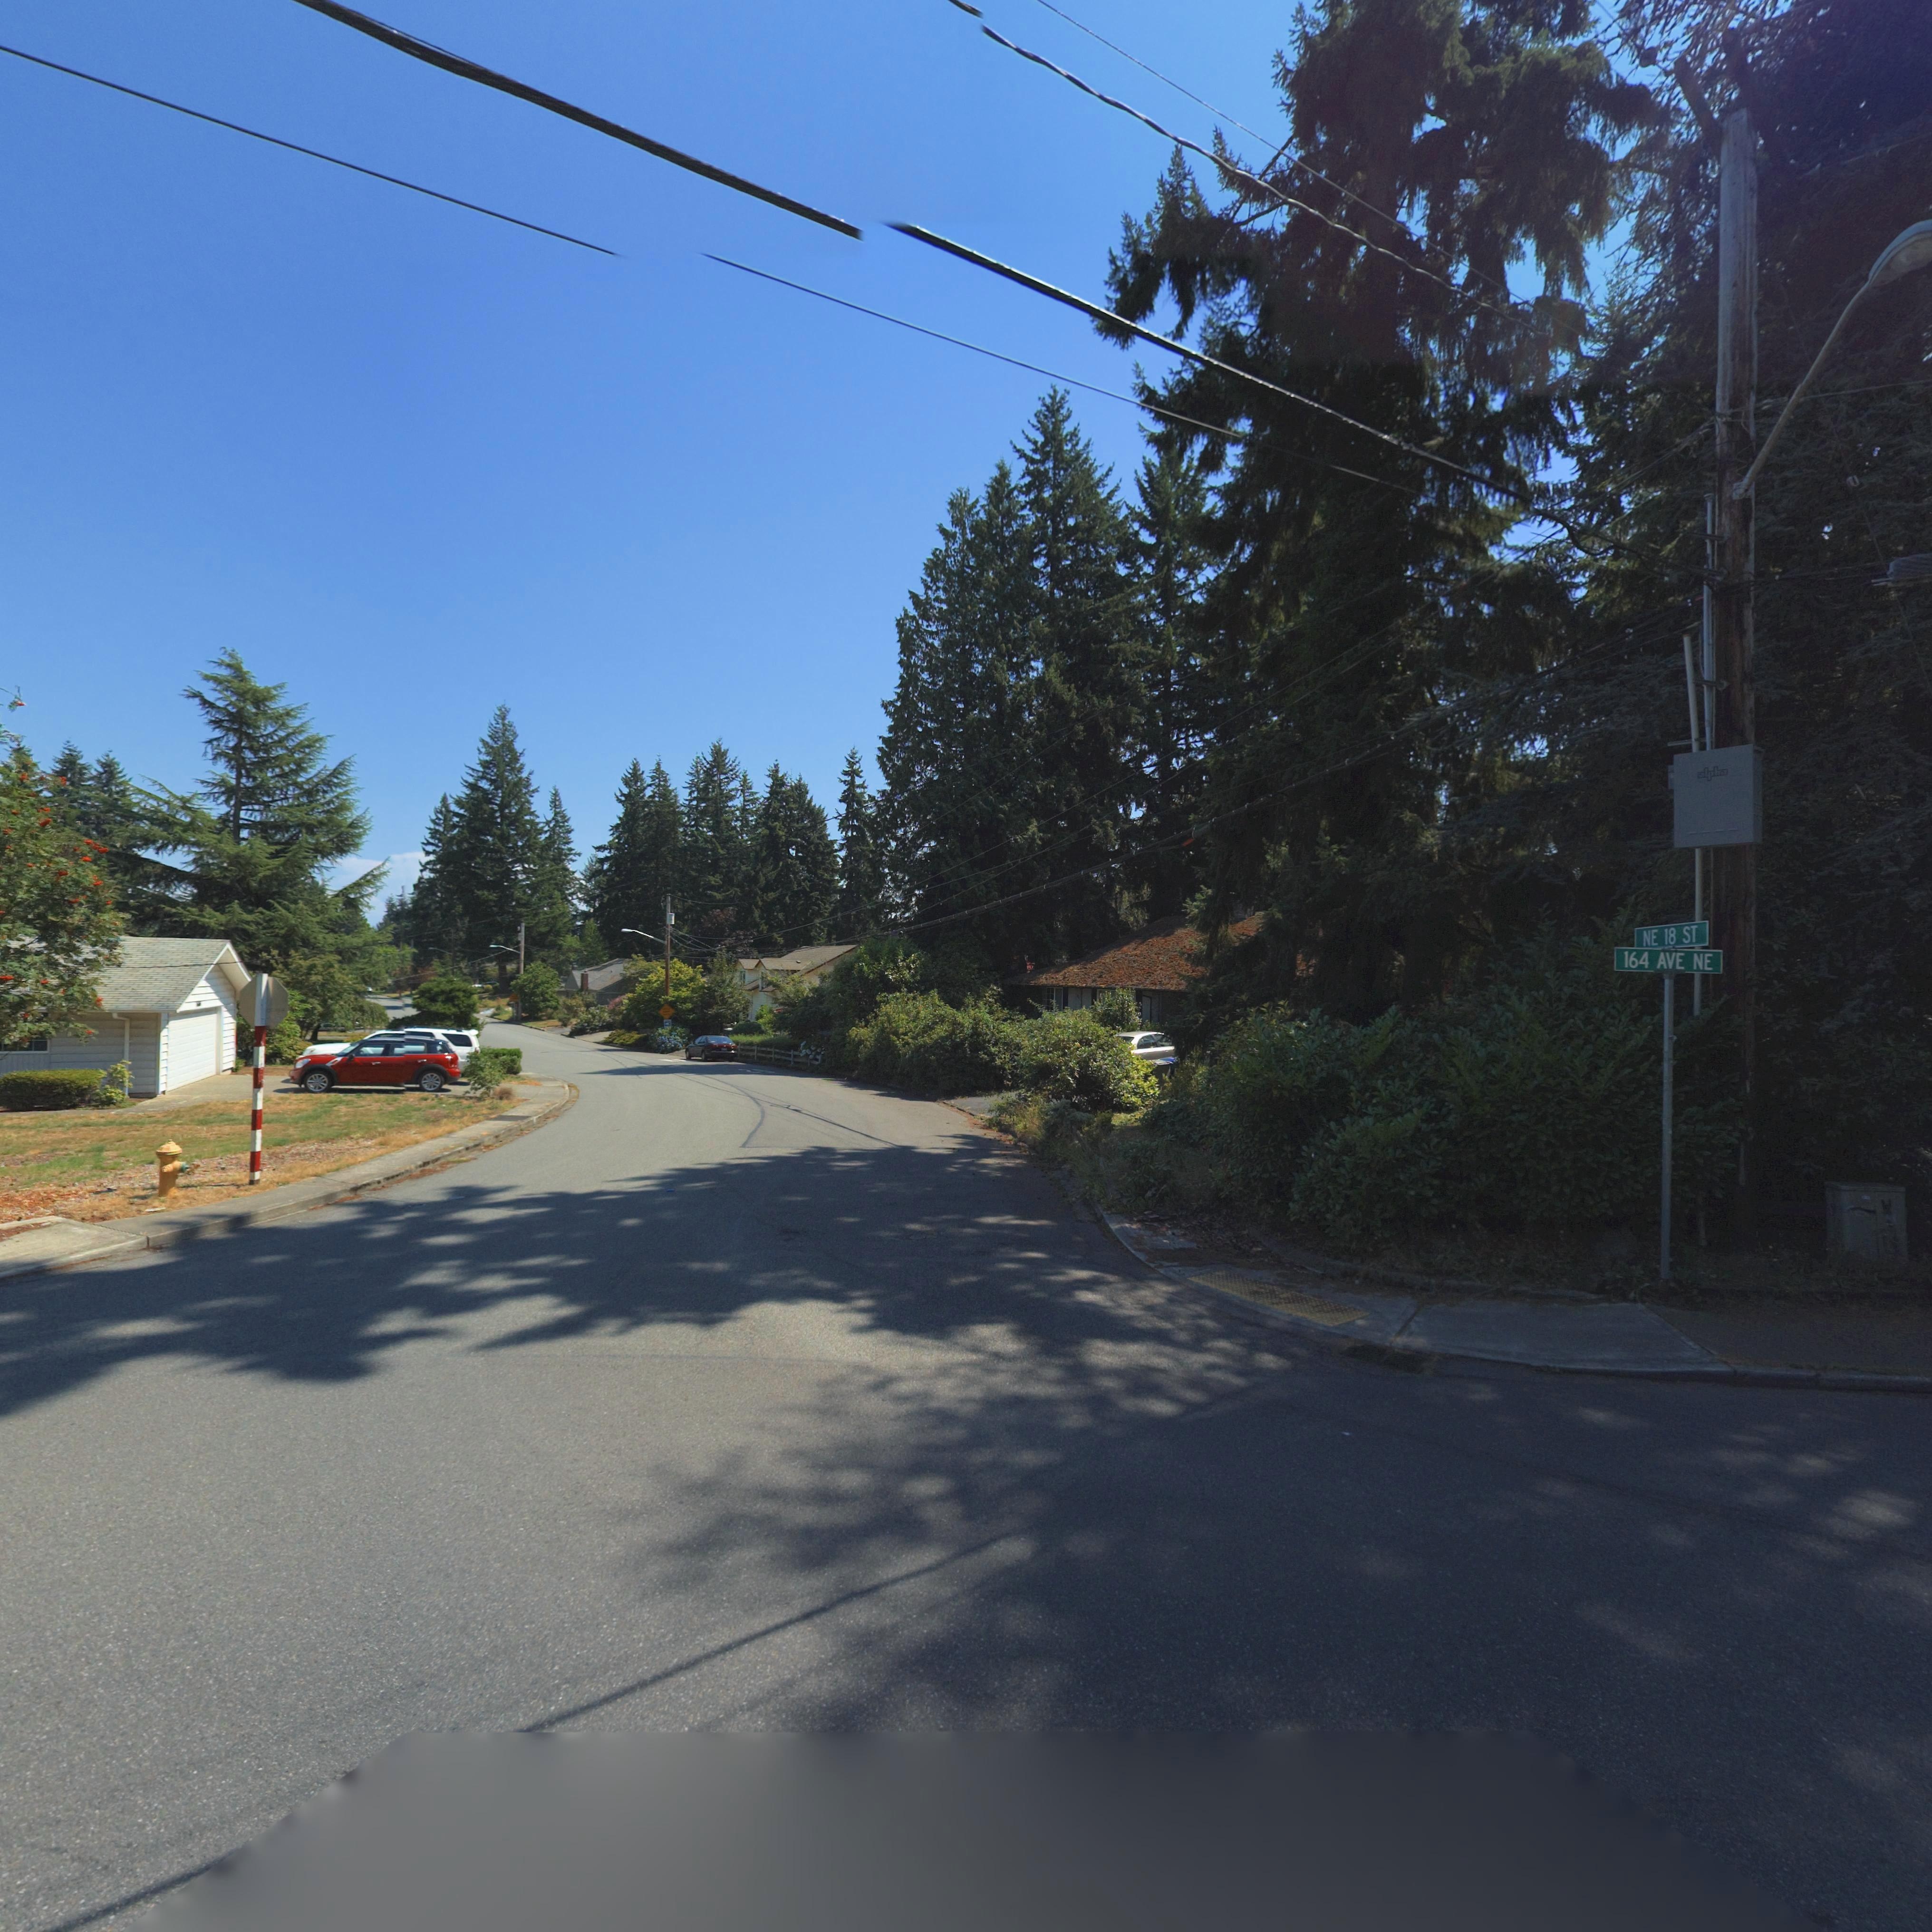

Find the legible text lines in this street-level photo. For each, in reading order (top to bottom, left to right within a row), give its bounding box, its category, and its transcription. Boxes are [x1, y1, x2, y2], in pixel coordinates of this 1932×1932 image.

[1642, 925, 1698, 947] StreetName: NE 18 ST
[1623, 951, 1712, 970] StreetName: 164 AVE NE